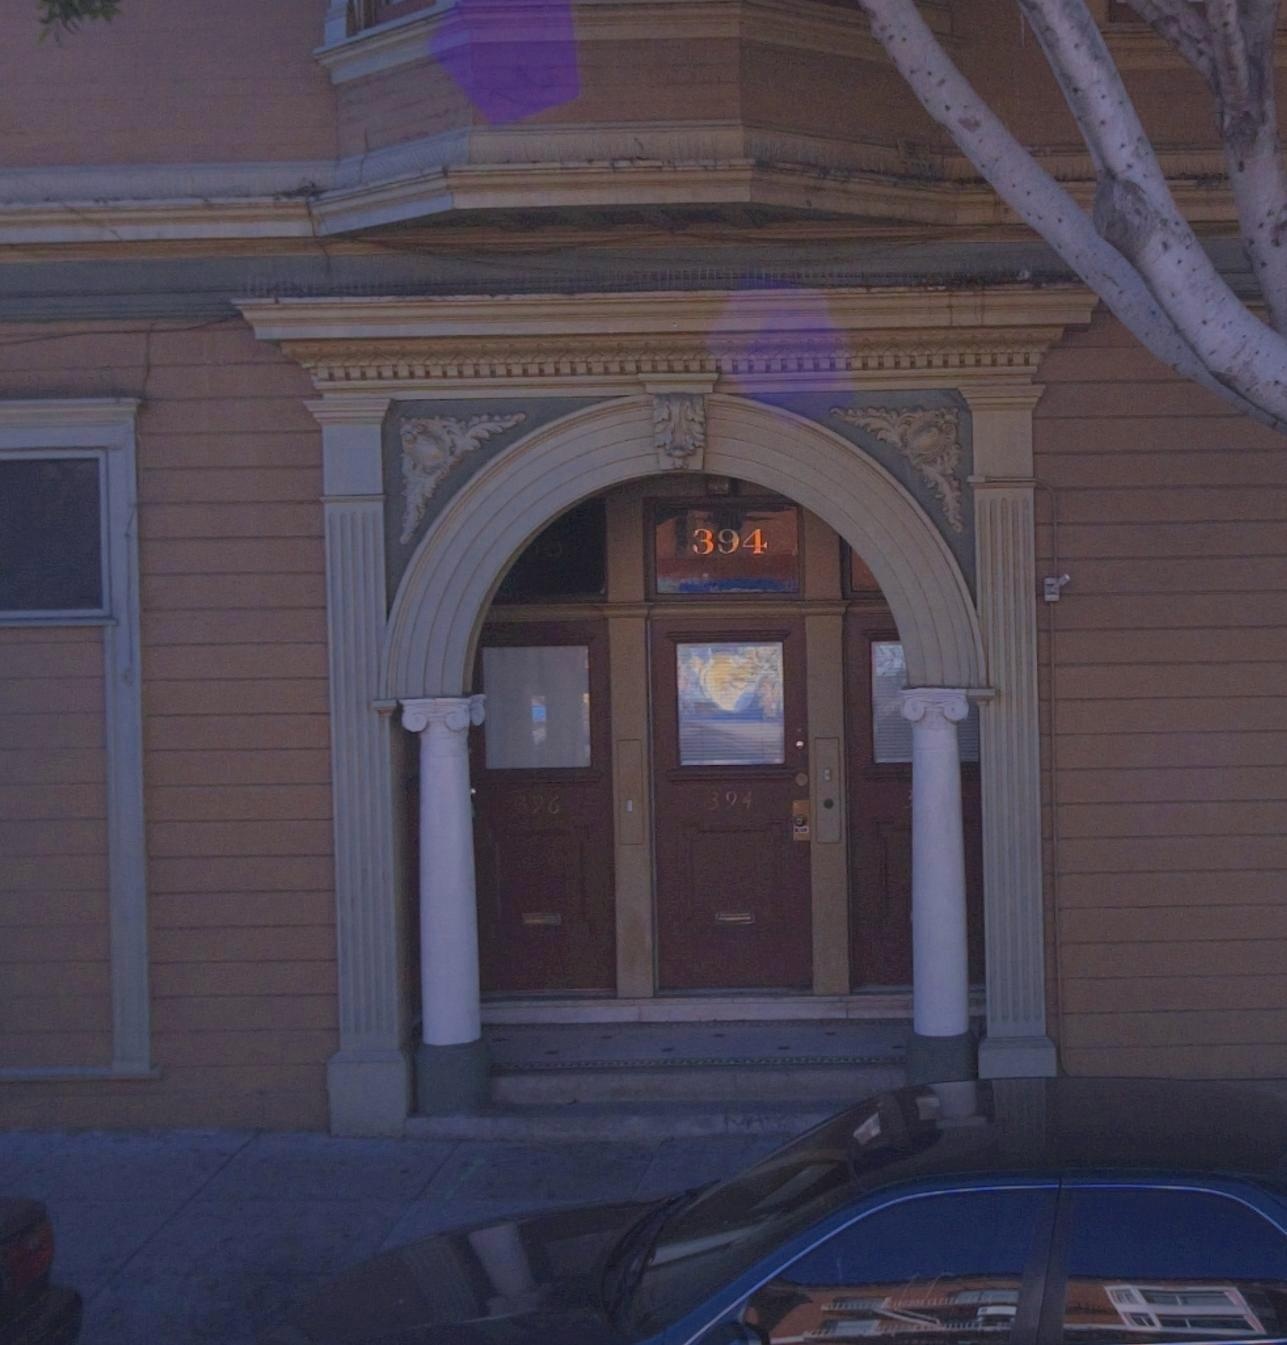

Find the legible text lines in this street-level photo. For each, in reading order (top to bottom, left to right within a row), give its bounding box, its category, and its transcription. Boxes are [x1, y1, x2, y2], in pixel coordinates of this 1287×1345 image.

[691, 527, 769, 556] StreetNumber: 394
[513, 792, 561, 815] StreetNumber: 396
[705, 790, 754, 812] StreetNumber: 394